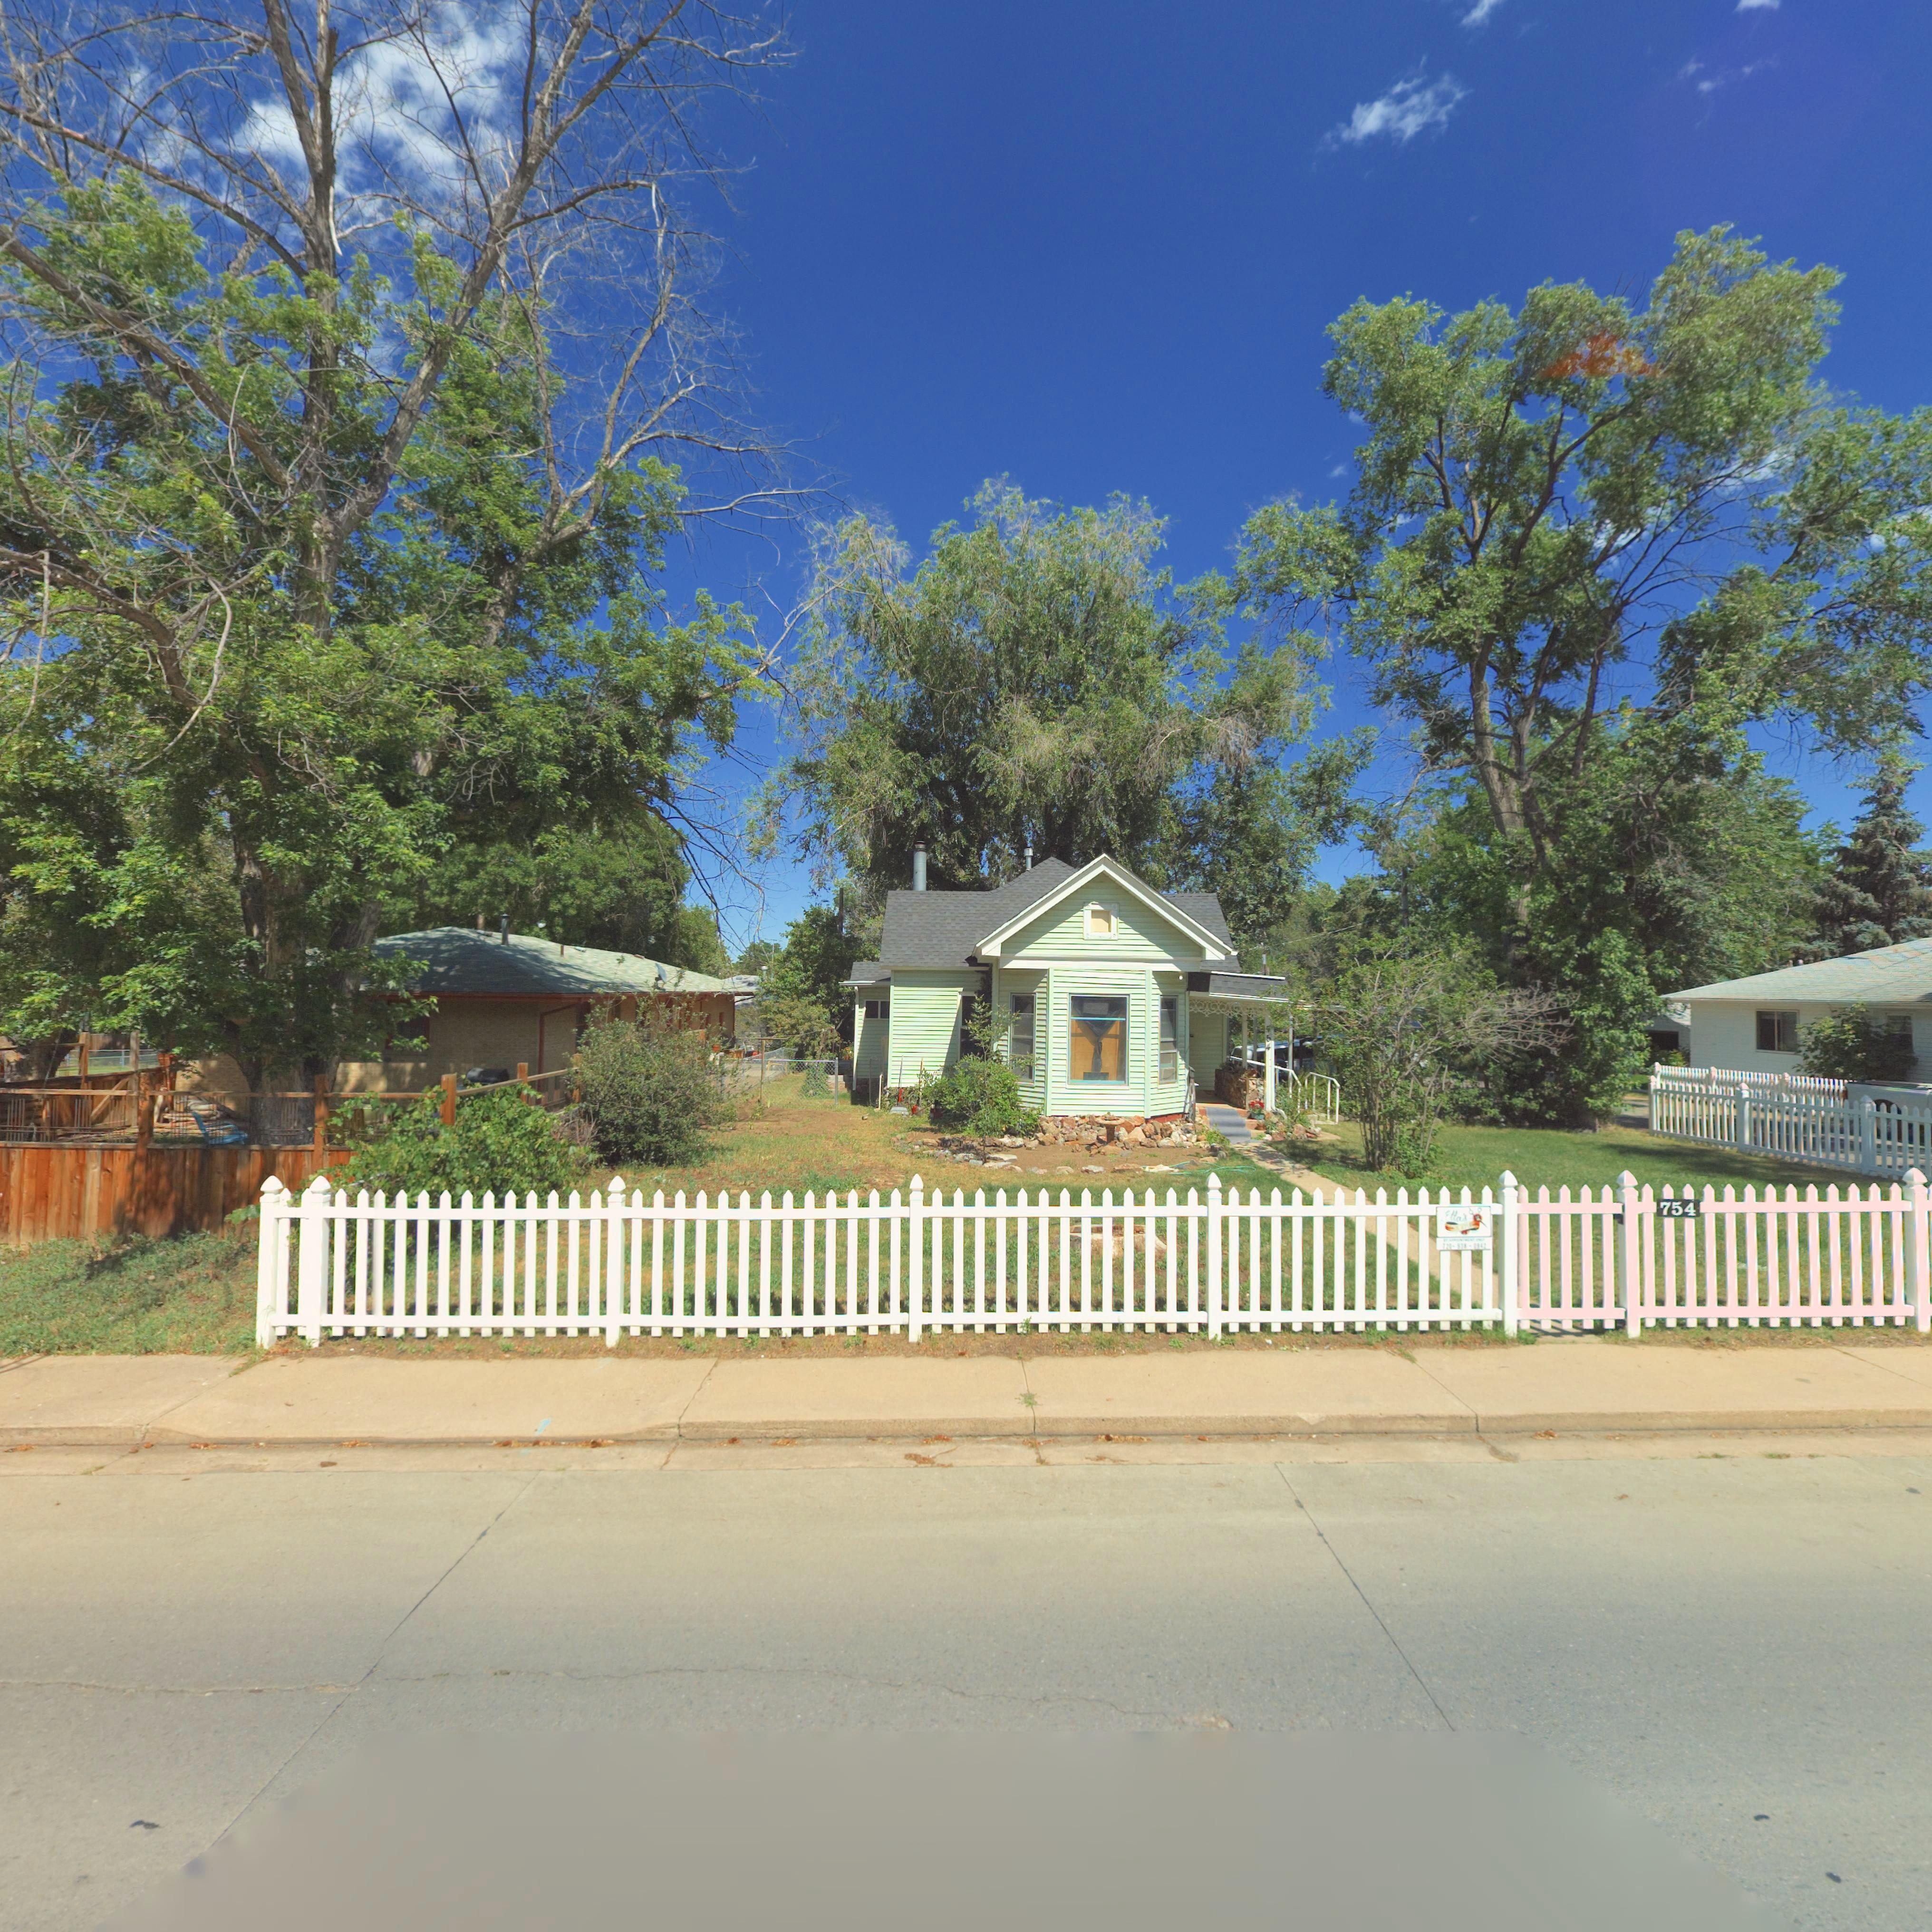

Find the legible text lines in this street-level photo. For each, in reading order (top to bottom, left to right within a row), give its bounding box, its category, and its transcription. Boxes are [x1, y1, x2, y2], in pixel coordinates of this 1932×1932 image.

[1444, 1208, 1468, 1223] BusinessName: Ella's
[1660, 1200, 1697, 1217] StreetNumber: 754